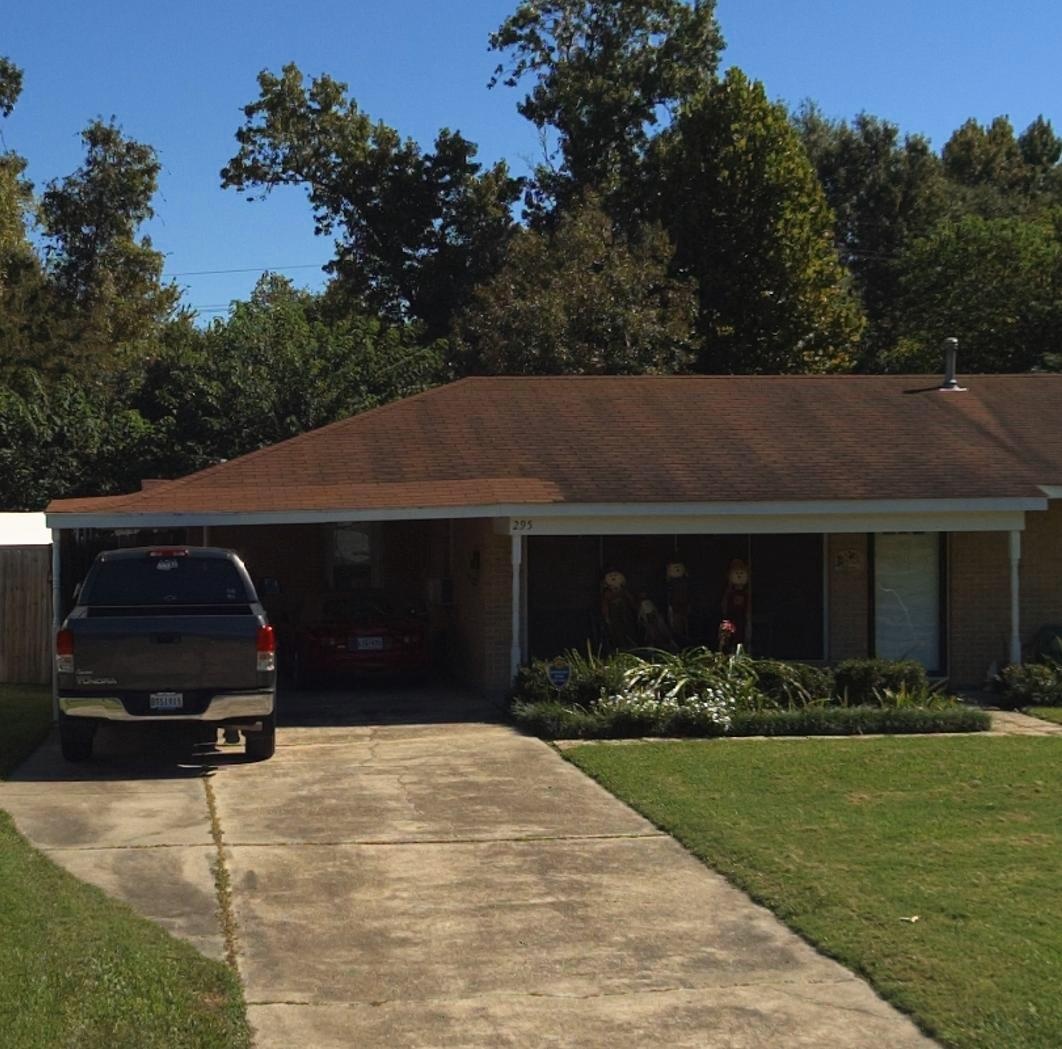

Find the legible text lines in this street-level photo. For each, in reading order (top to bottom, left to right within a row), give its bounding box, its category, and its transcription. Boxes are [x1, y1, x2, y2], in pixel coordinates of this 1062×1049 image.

[510, 518, 535, 533] StreetNumber: 295
[148, 694, 183, 709] None: ***1915